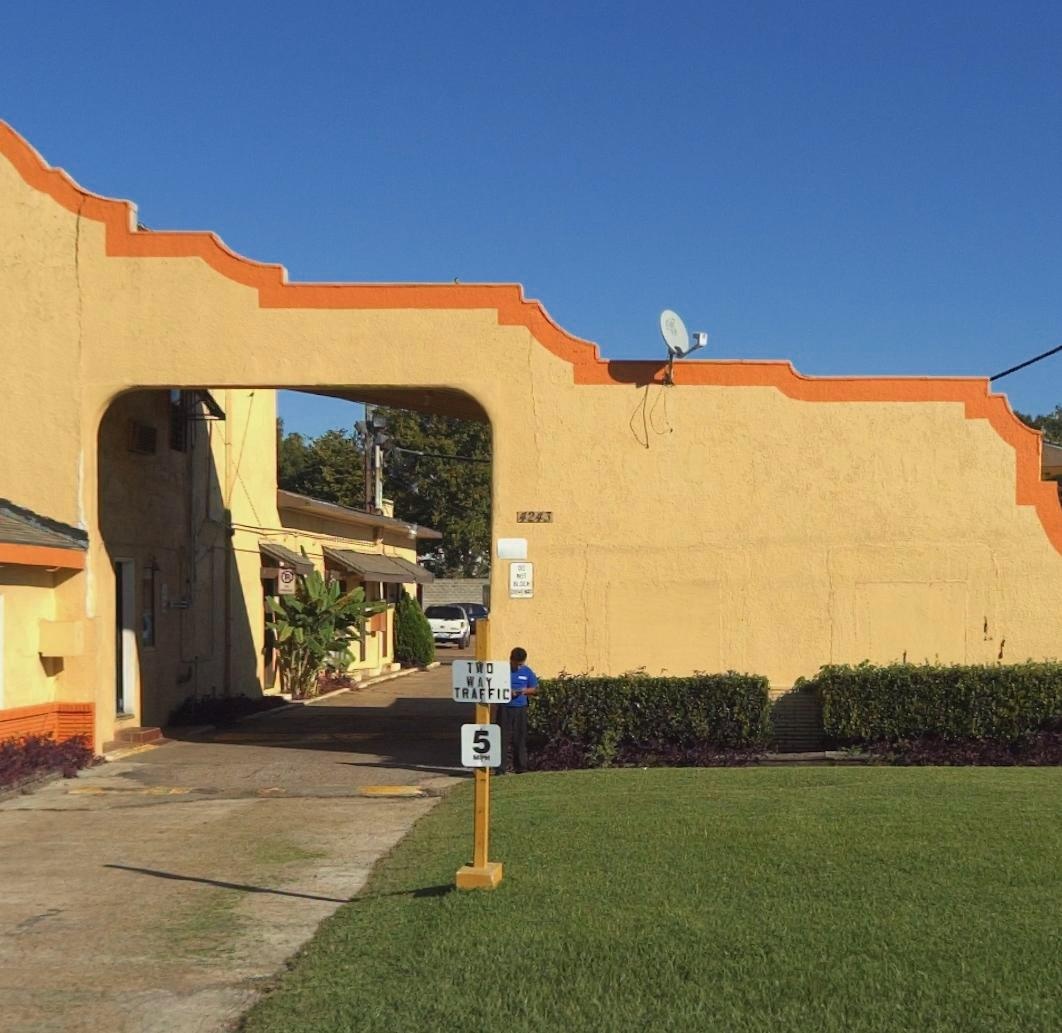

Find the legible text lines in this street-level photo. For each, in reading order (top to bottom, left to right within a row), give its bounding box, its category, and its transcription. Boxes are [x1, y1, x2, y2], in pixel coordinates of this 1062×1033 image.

[517, 509, 553, 524] StreetNumber: 4243
[465, 659, 495, 676] None: TWO
[463, 674, 495, 689] None: WAY
[452, 684, 511, 702] None: TRAFFIC
[469, 728, 494, 756] None: 5